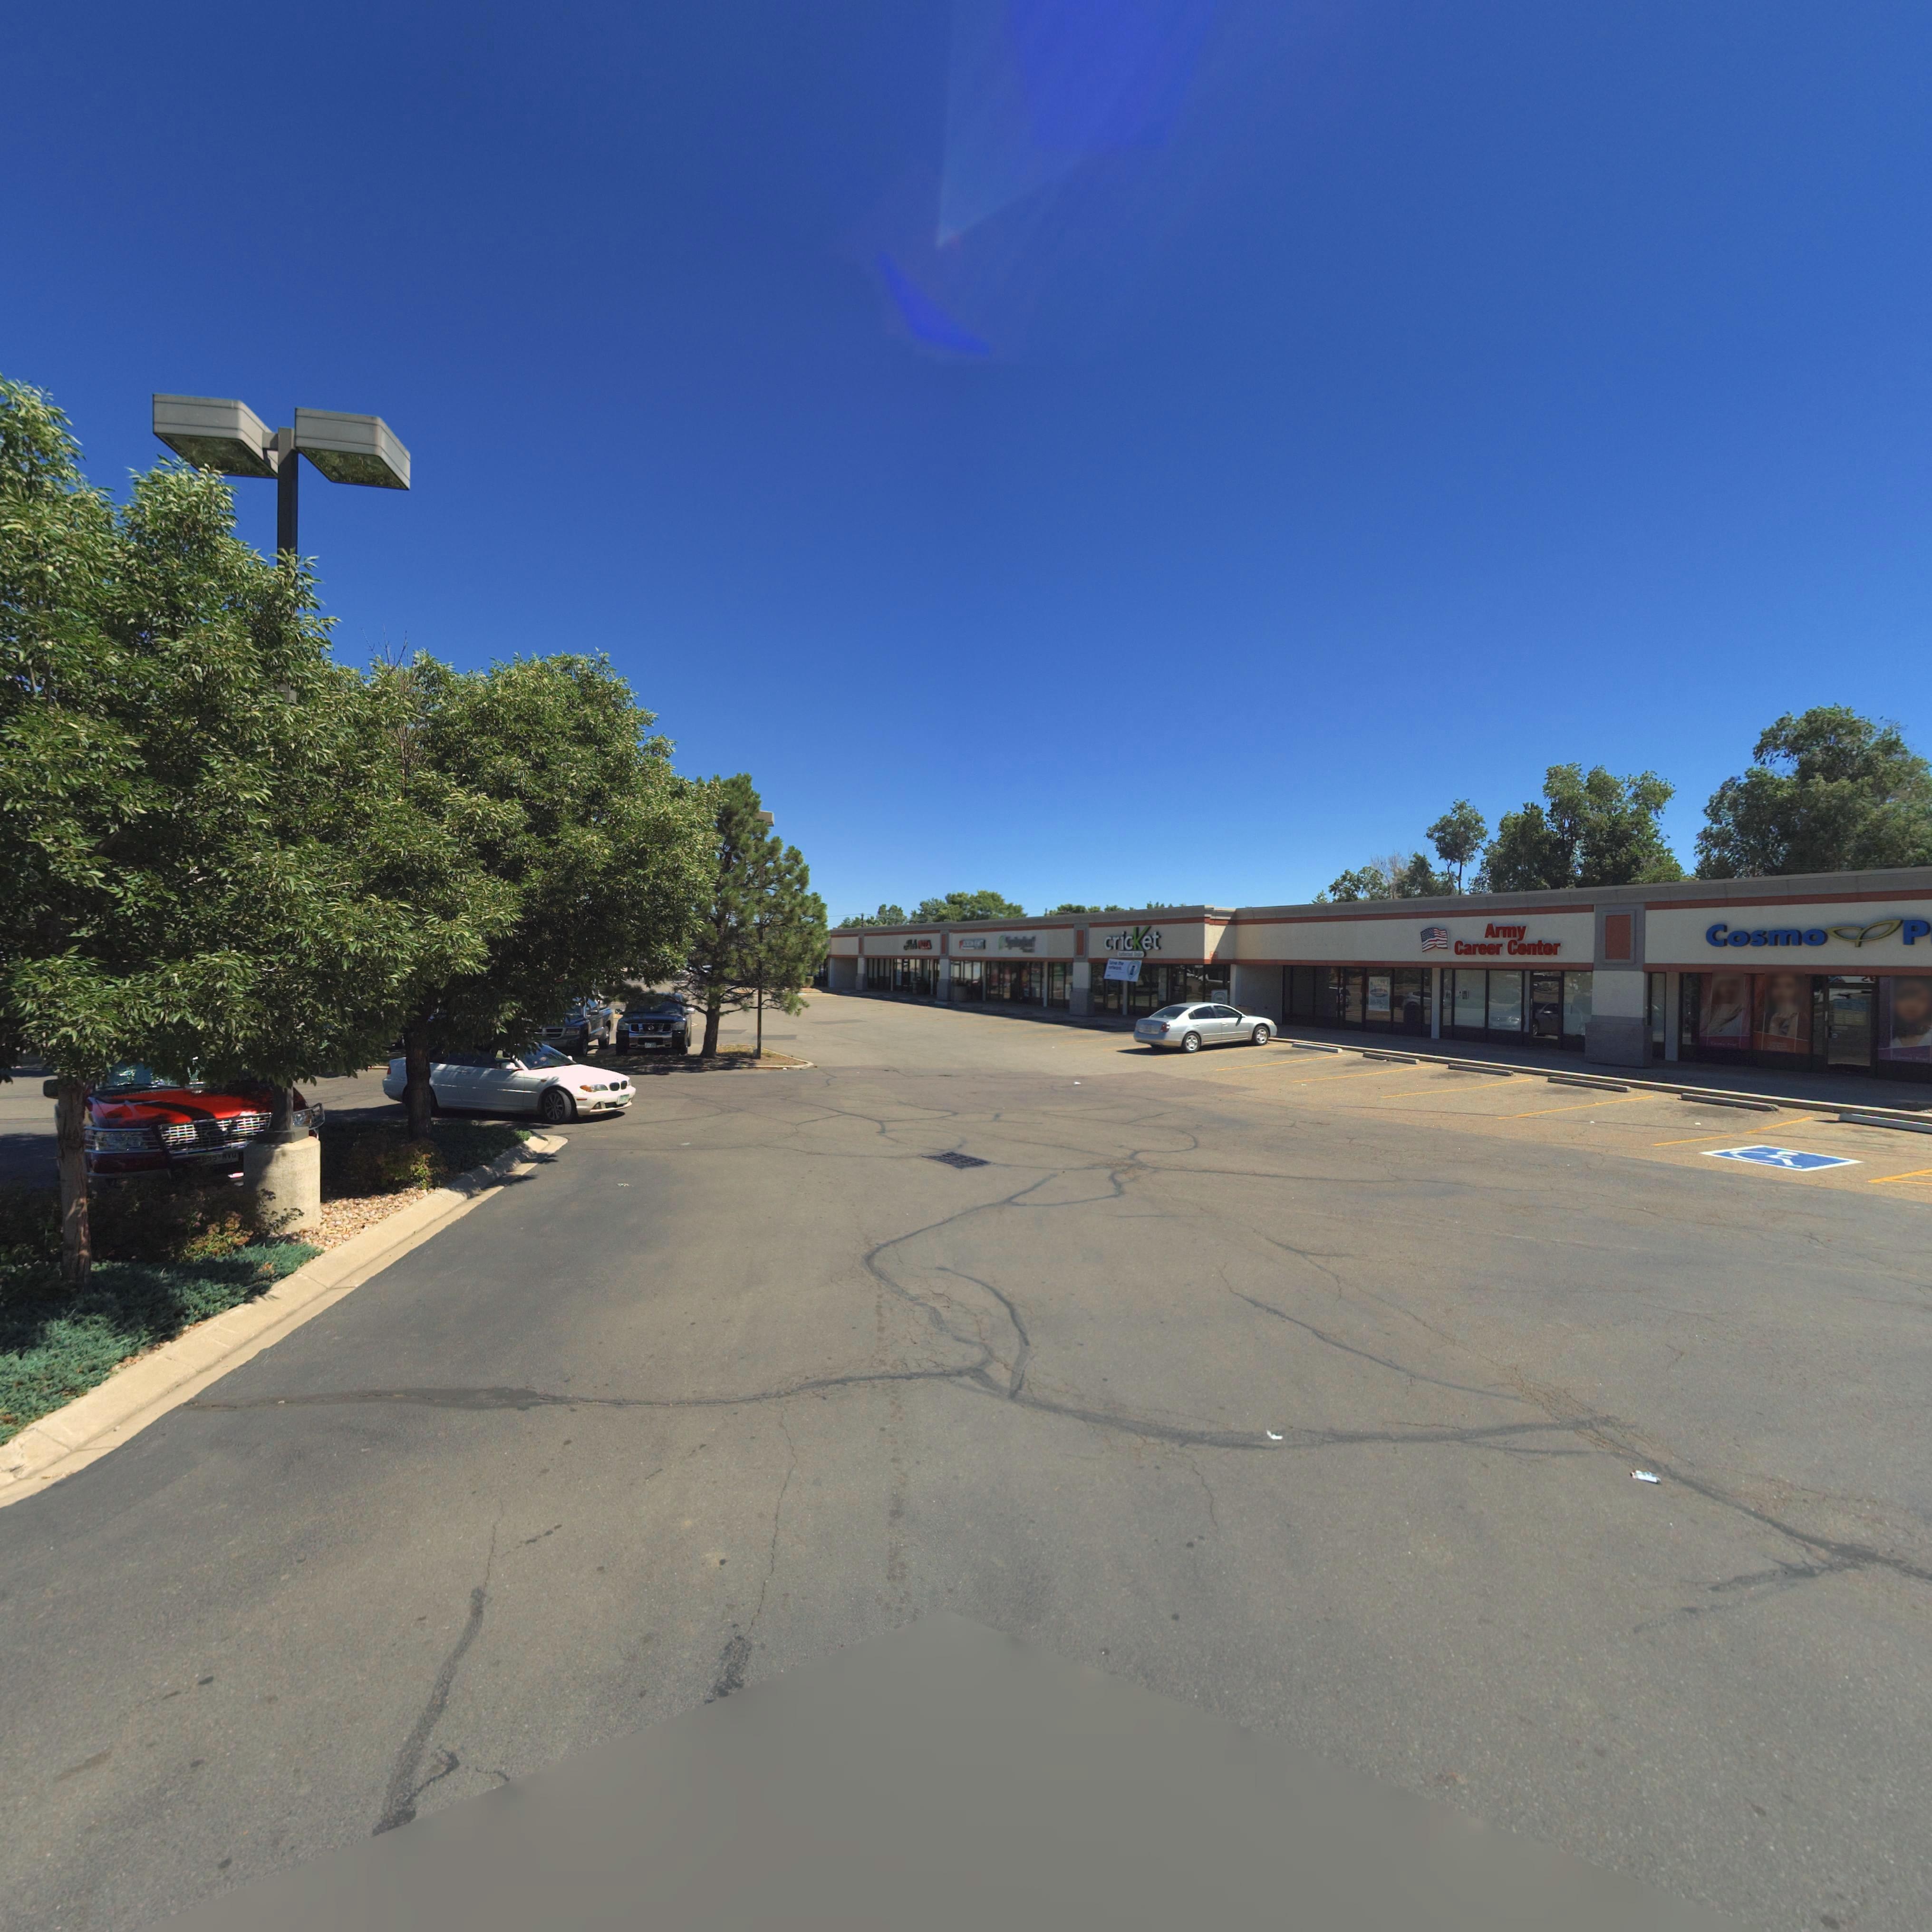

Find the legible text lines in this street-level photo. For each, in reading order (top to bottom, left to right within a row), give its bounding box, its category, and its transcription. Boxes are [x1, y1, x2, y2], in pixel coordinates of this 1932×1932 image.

[903, 939, 931, 950] BusinessName: Abo's PIZZA
[1004, 935, 1036, 950] BusinessName: Sp*i*gle*f
[1103, 925, 1159, 950] BusinessName: cricket
[1483, 923, 1526, 941] BusinessName: Army
[1454, 939, 1560, 955] BusinessName: Career Center
[1706, 919, 1928, 947] BusinessName: Cosmo*P